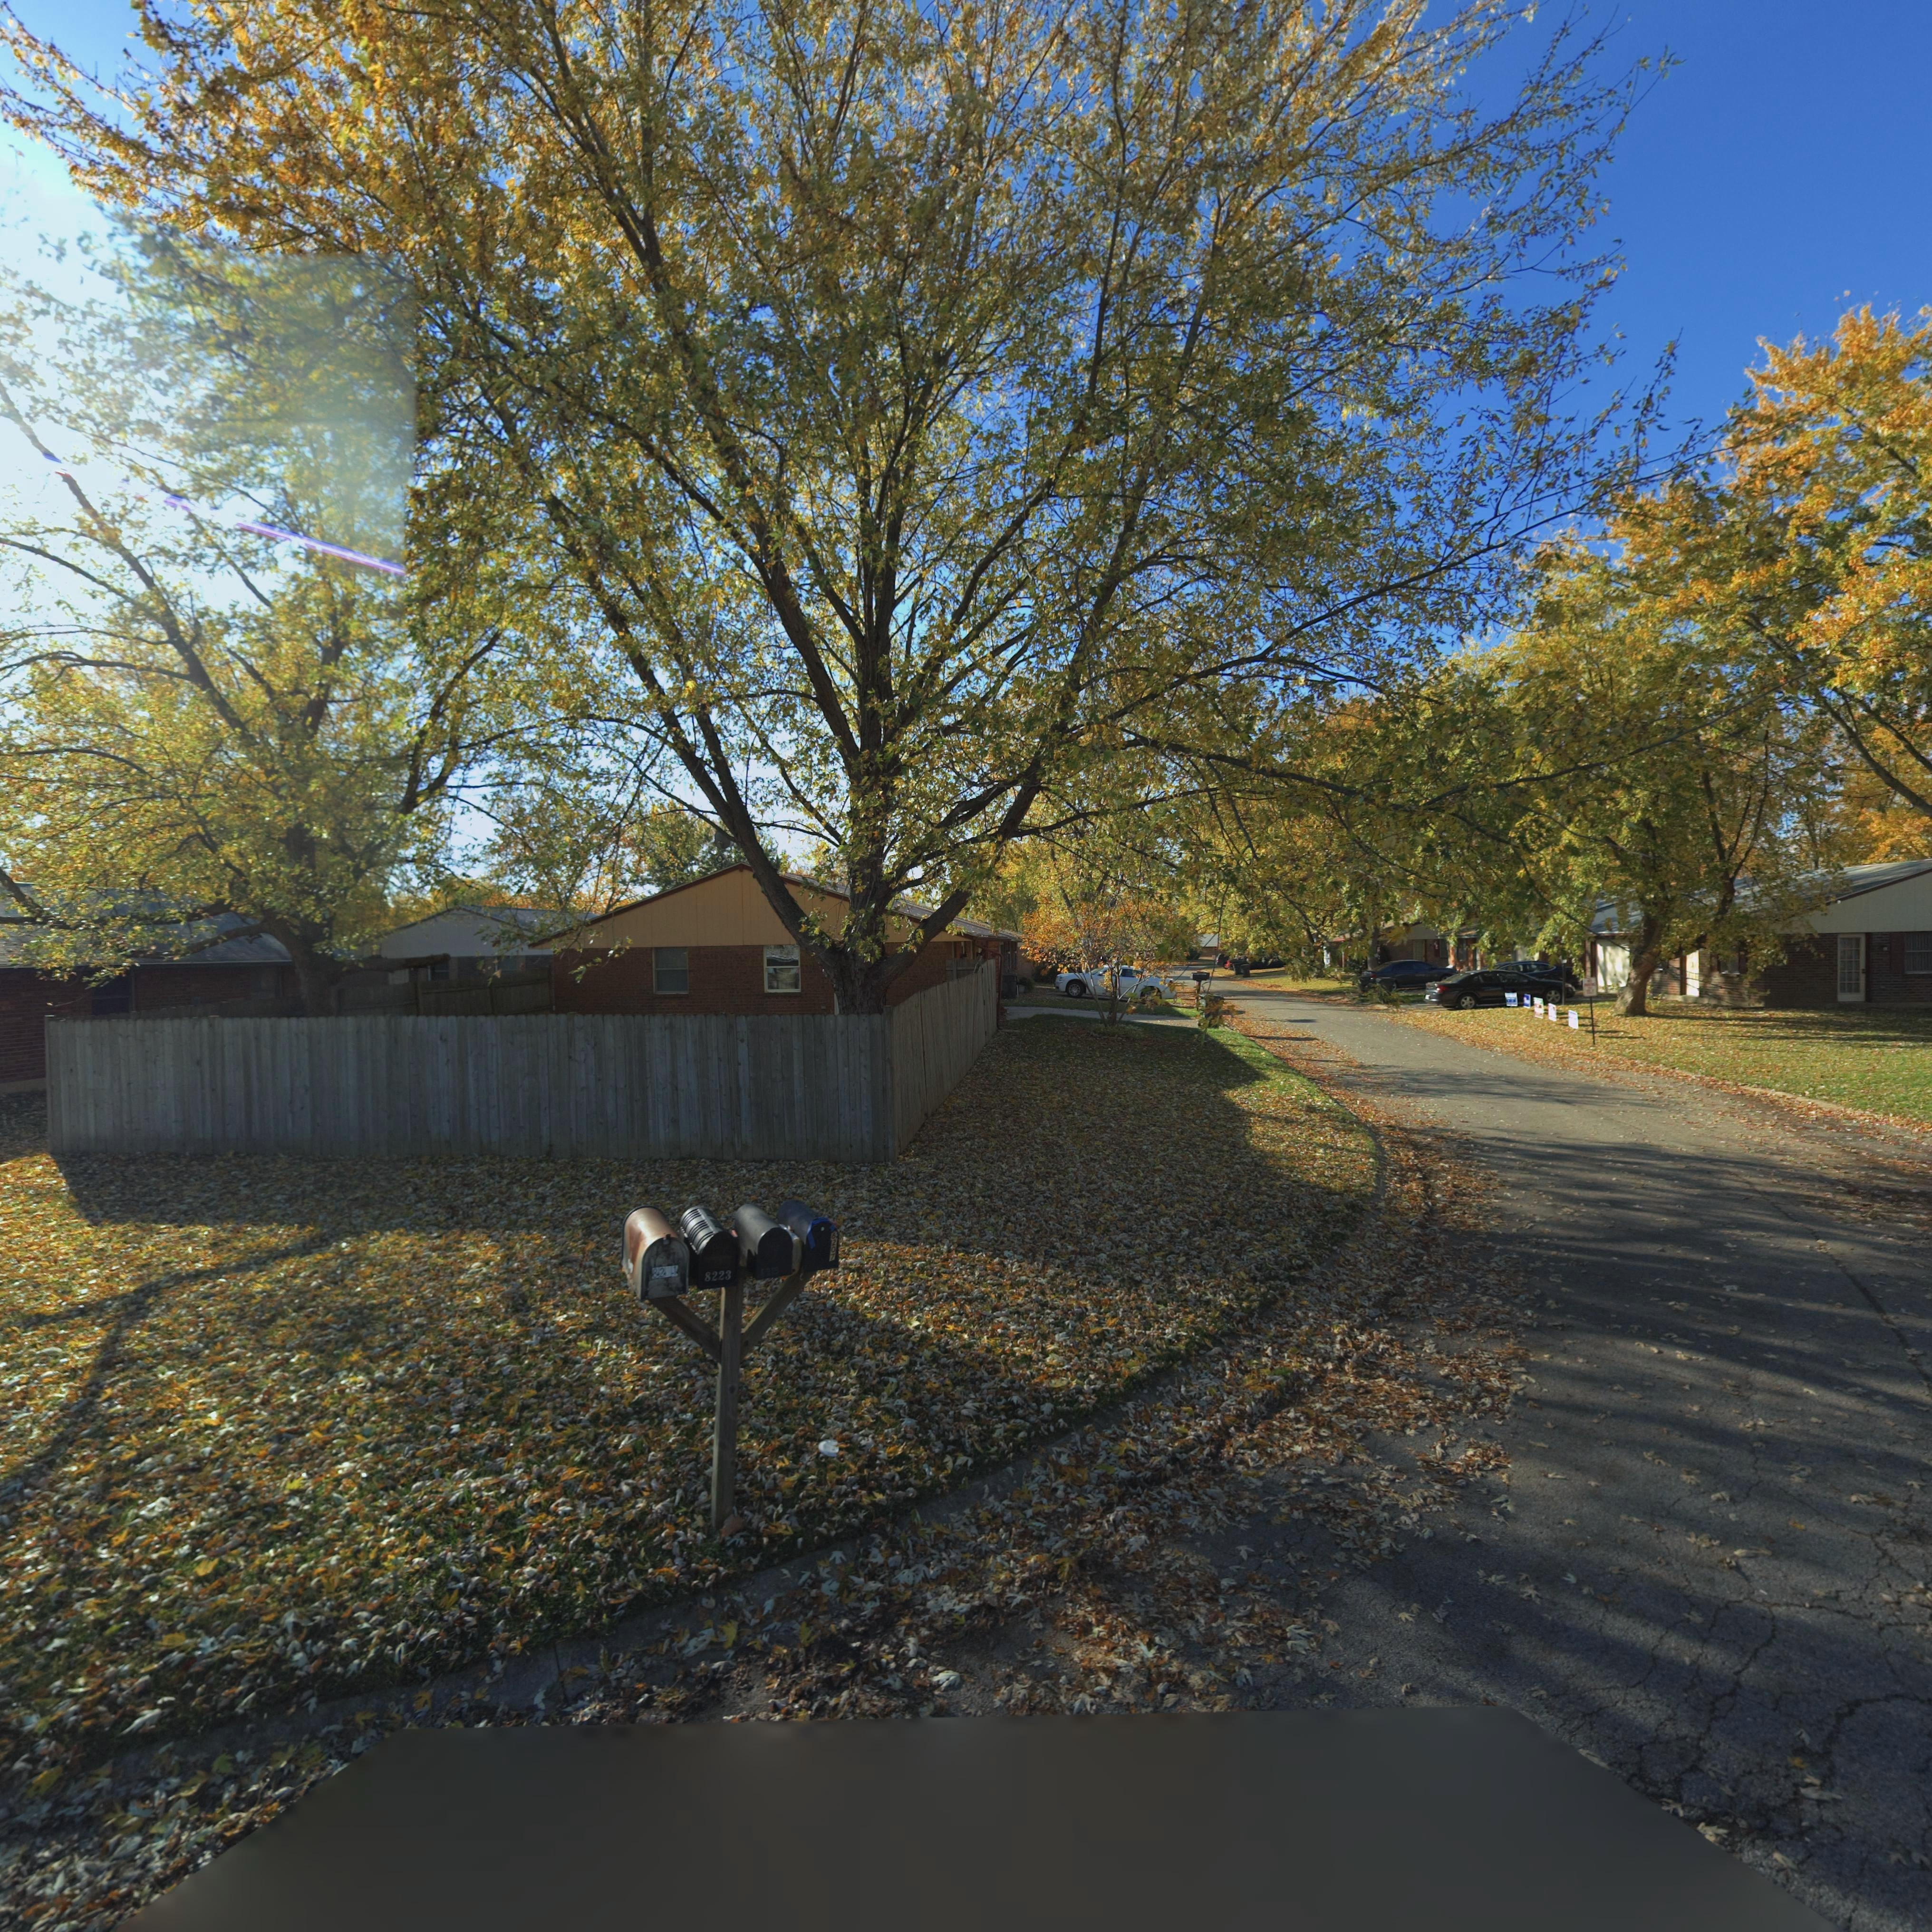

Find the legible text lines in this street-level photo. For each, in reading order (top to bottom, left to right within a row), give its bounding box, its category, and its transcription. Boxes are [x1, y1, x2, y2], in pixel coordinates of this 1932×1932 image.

[830, 1231, 837, 1262] StreetNumber: 8207
[652, 1265, 678, 1279] StreetNumber: 82*1
[704, 1269, 732, 1283] StreetNumber: 8223
[759, 1266, 780, 1278] StreetNumber: *215